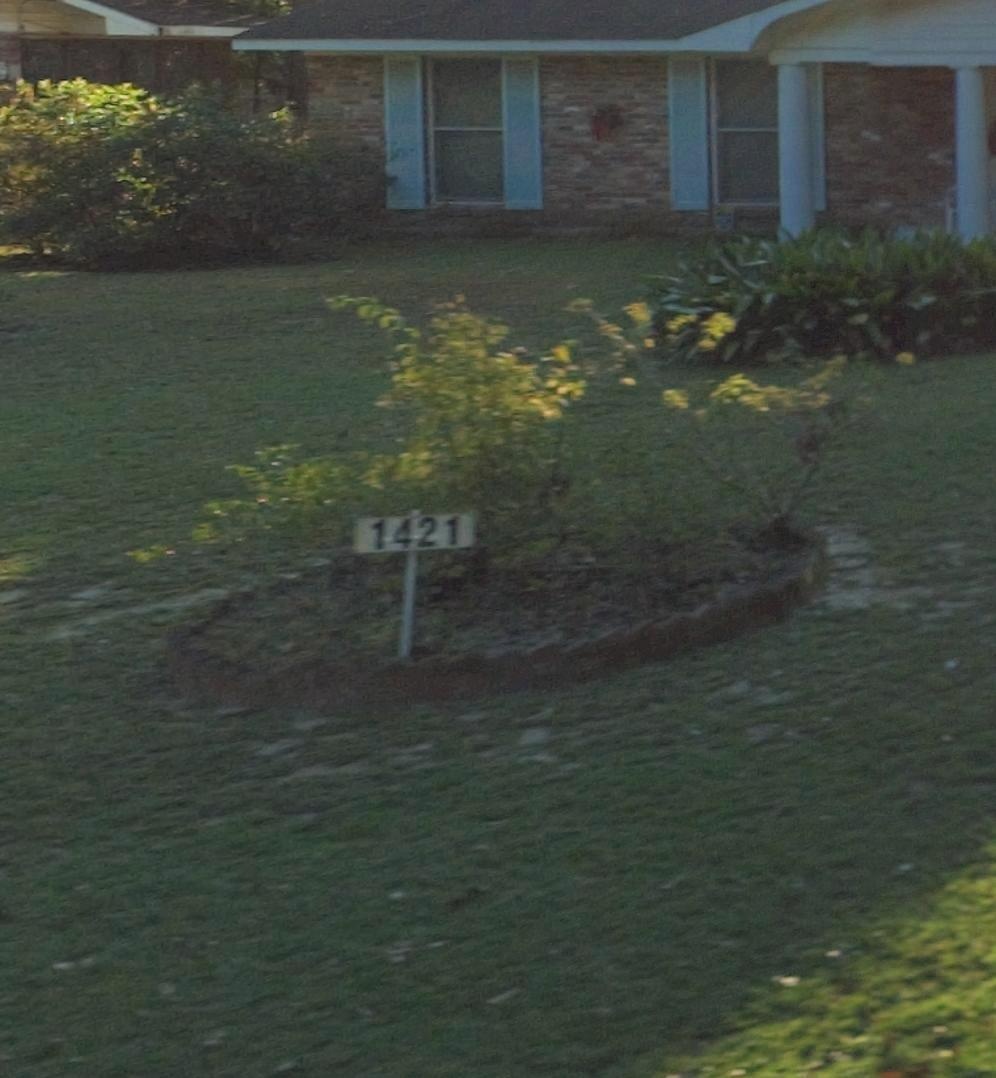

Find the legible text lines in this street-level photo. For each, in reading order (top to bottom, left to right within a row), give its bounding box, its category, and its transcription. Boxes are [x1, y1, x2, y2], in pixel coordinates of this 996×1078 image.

[366, 513, 464, 552] StreetNumber: 1421